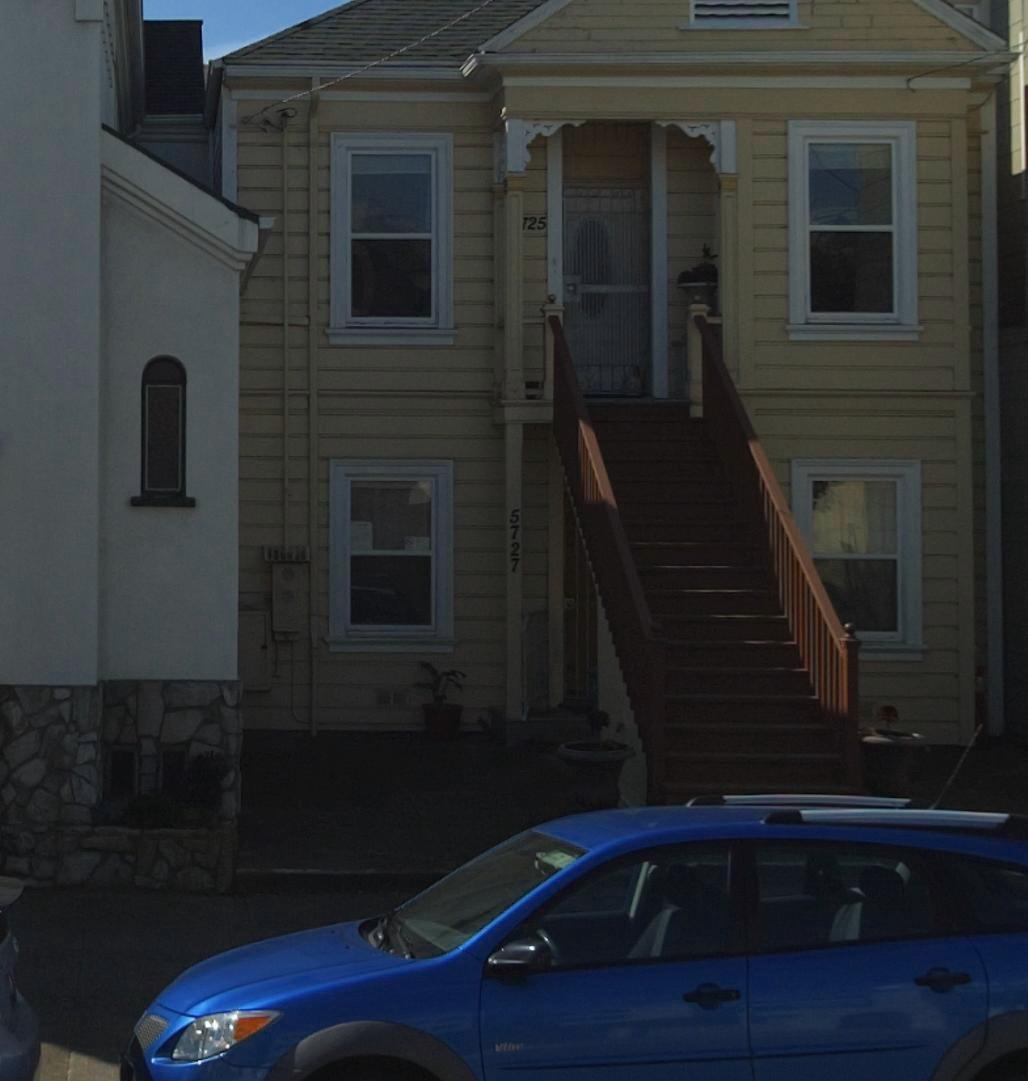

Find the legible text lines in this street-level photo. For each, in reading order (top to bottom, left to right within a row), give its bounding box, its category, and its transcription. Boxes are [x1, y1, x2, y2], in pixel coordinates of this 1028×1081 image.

[526, 215, 546, 230] StreetNumber: 25
[508, 508, 522, 574] StreetNumber: 5727